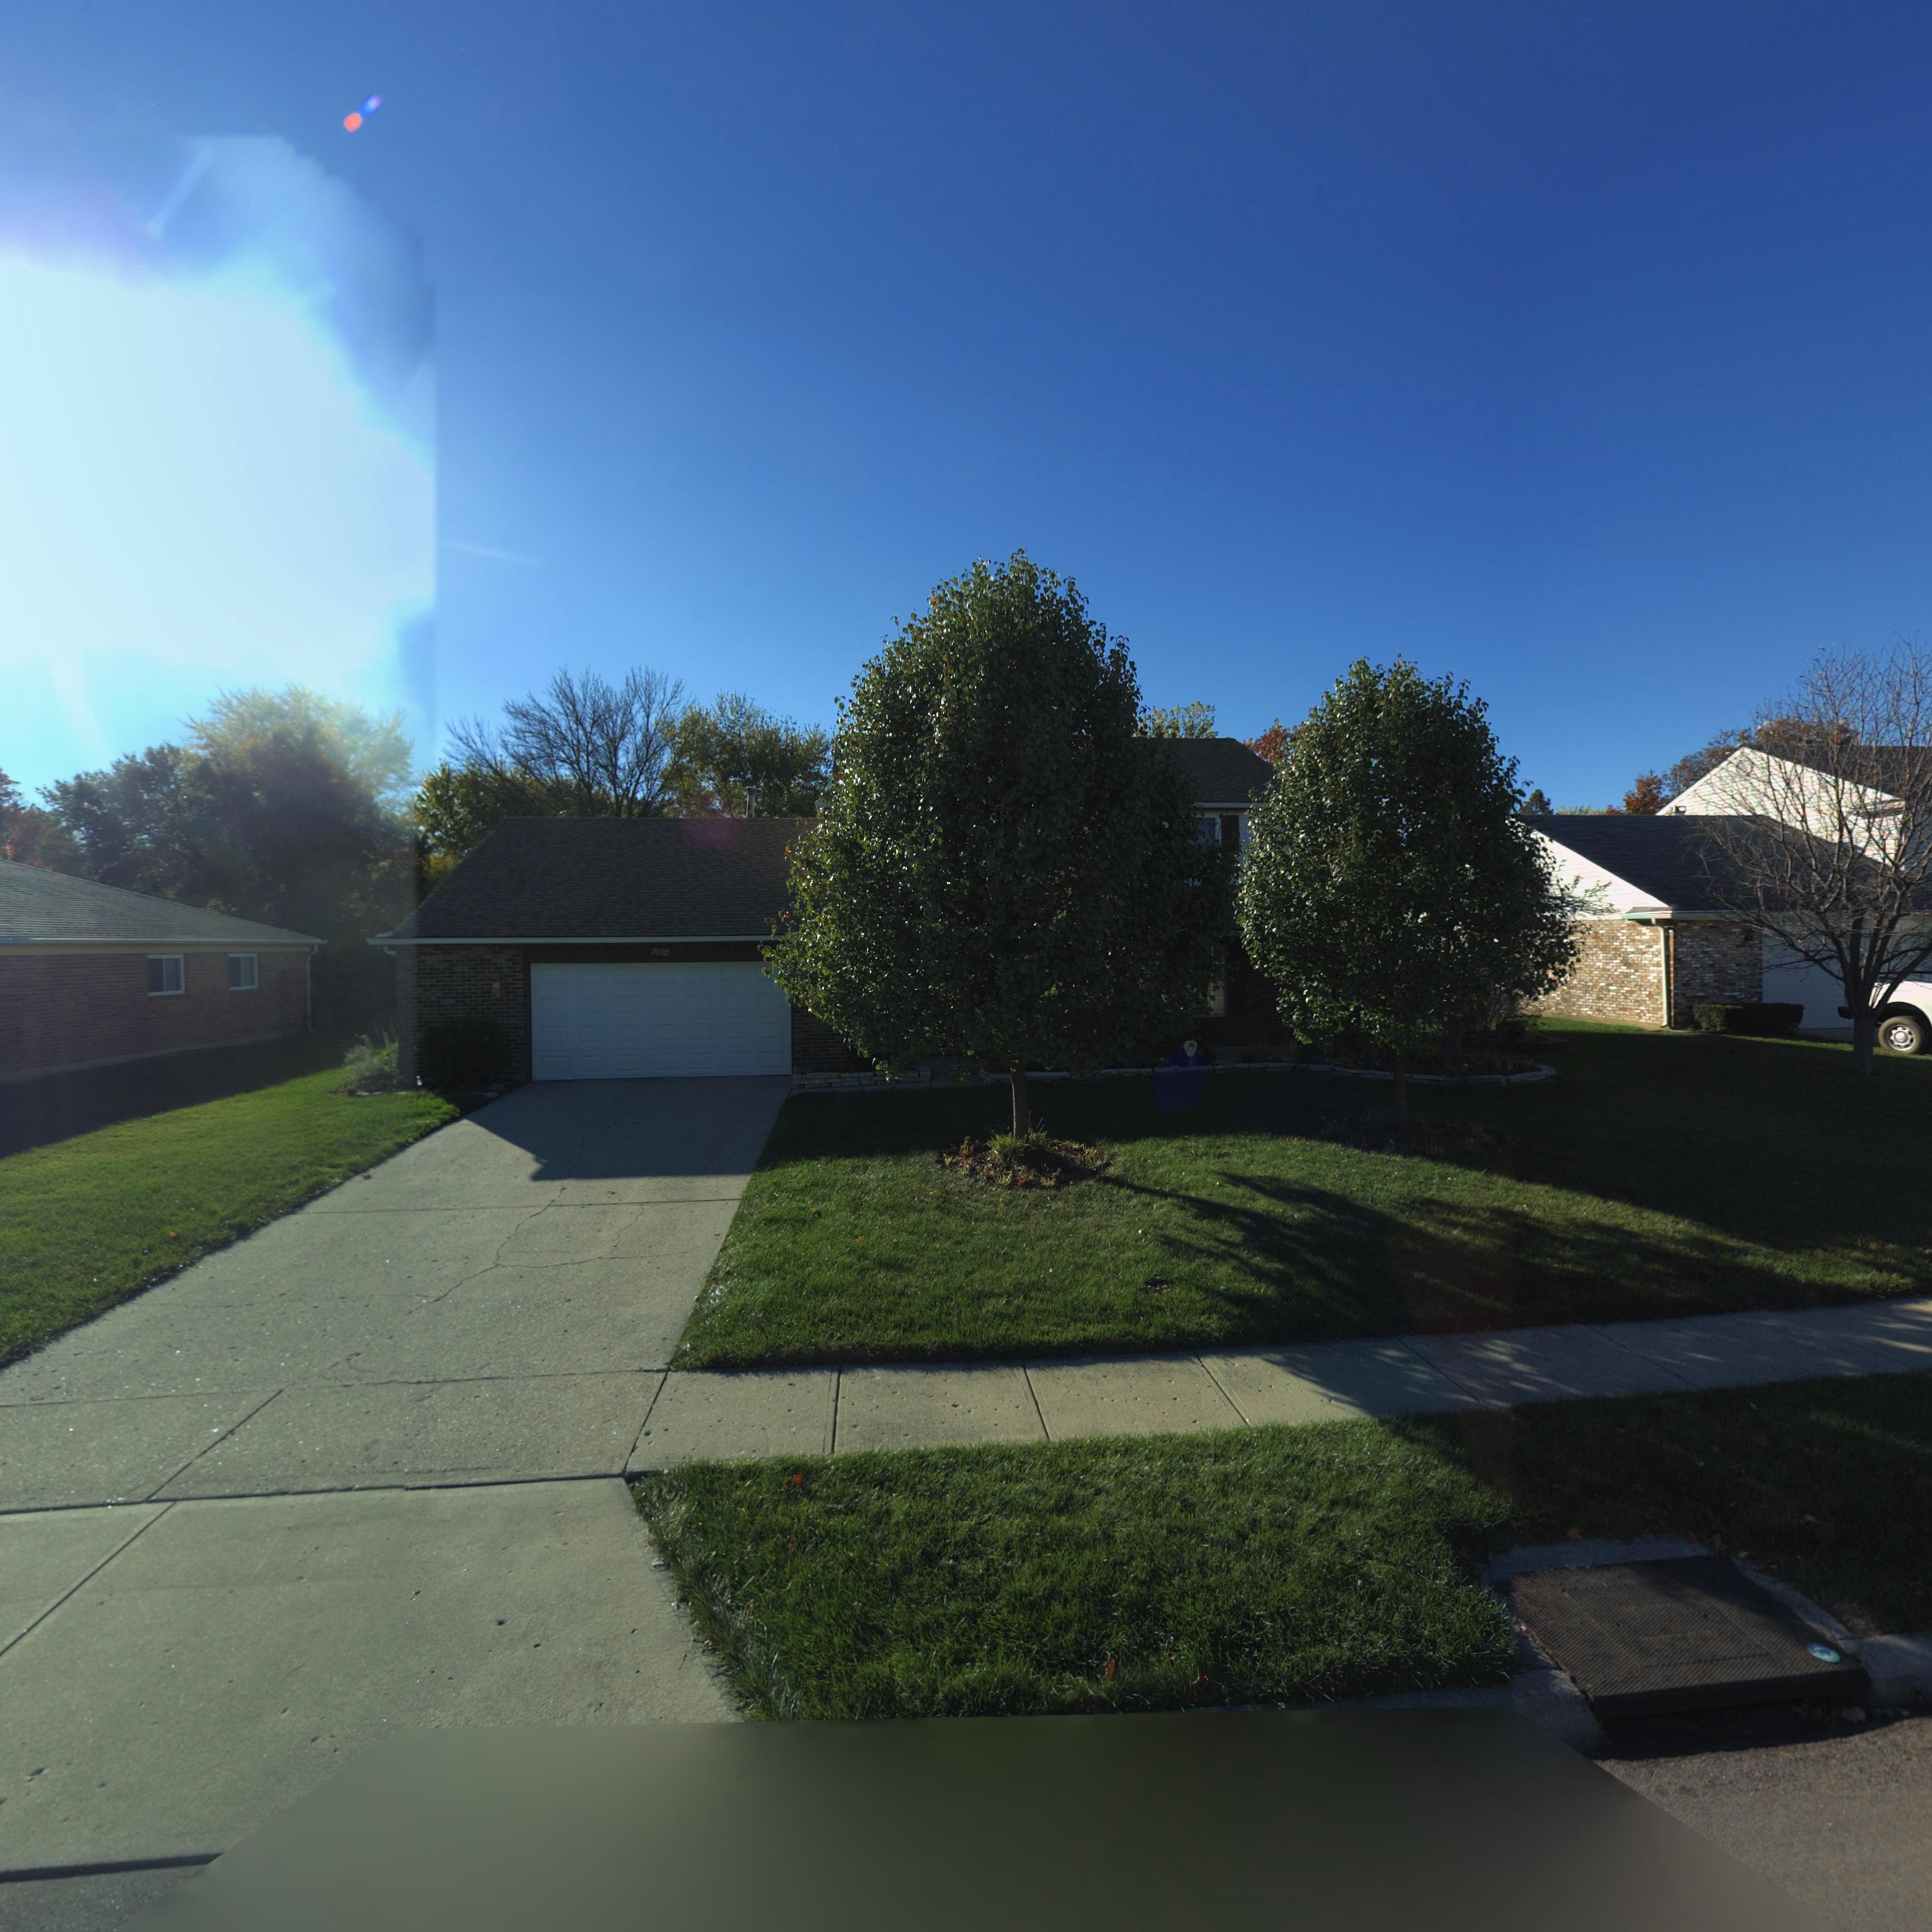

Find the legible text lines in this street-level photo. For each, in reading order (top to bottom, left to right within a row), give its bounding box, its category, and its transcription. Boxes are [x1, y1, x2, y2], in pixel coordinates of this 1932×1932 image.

[651, 947, 670, 956] StreetNumber: 7005